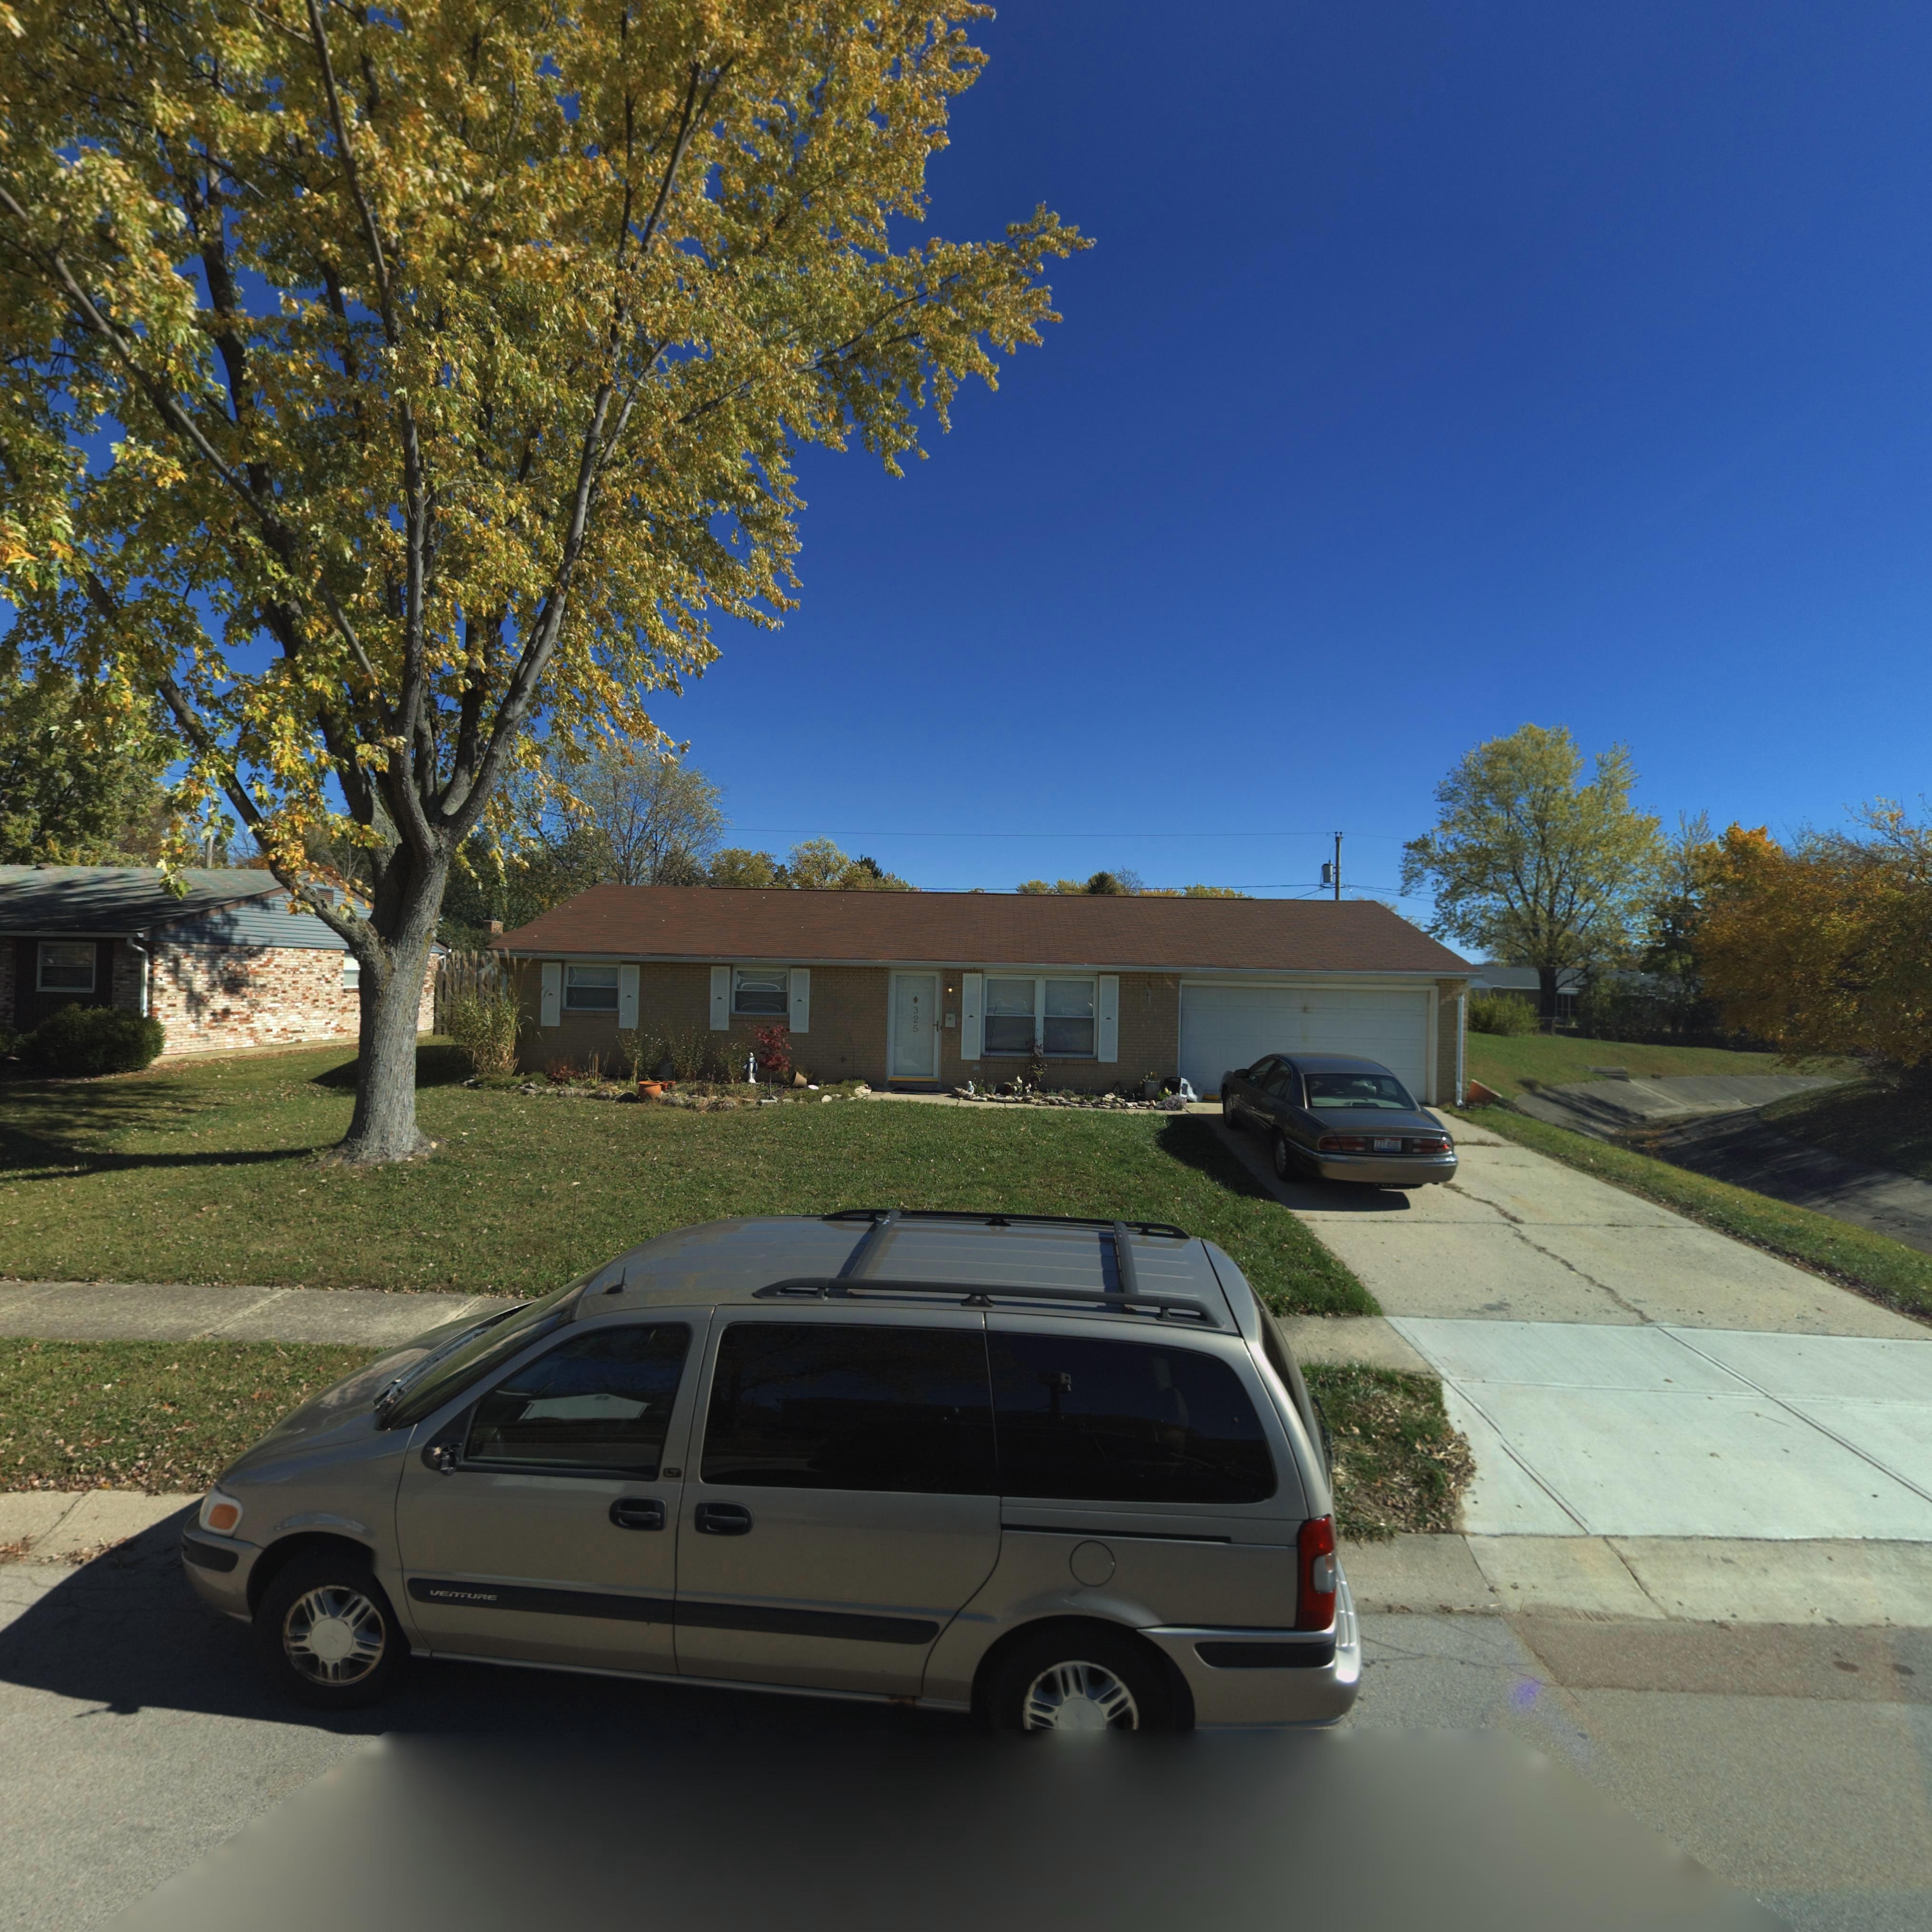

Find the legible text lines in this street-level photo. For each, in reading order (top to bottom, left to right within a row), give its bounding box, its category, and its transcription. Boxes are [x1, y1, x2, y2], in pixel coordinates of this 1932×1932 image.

[913, 1005, 919, 1033] StreetNumber: 325